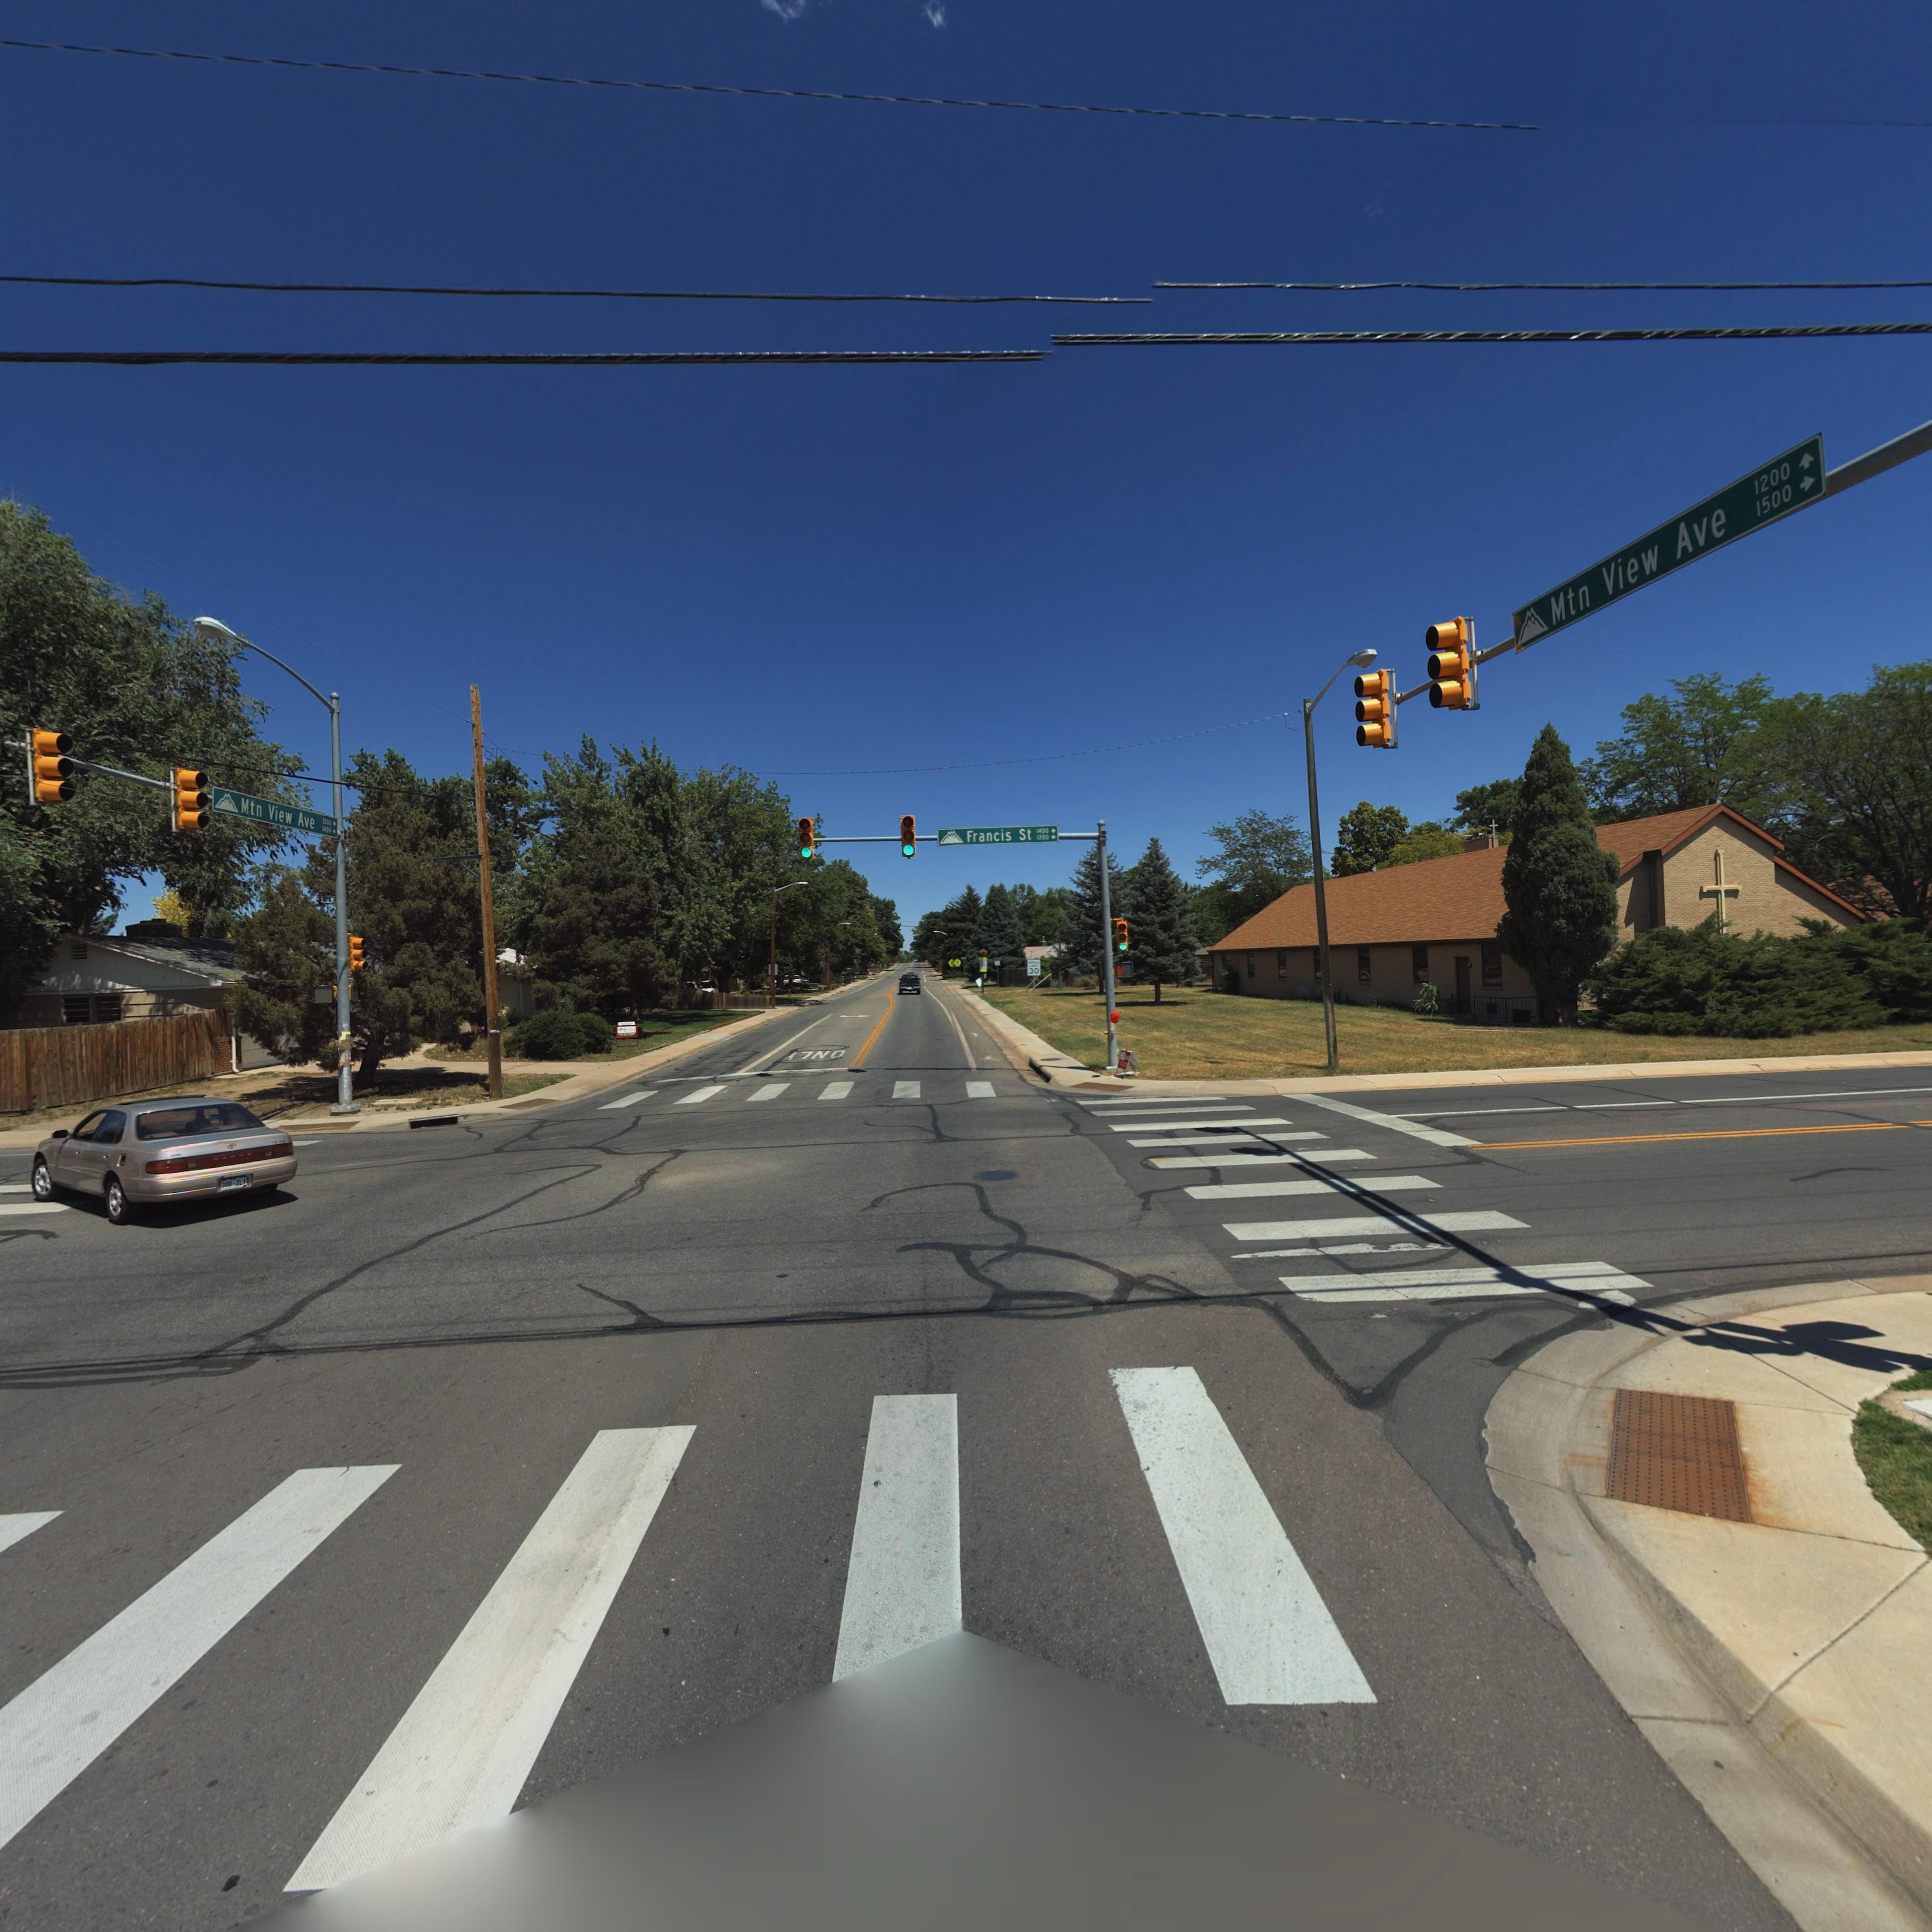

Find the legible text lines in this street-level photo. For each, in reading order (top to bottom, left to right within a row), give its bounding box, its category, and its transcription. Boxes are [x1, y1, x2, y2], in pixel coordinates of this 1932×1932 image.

[1753, 462, 1790, 496] StreetNumberRange: 1200
[1756, 475, 1816, 517] StreetNumberRange: 1500 ->
[1550, 508, 1727, 626] StreetName: Mtn View Ave
[241, 797, 315, 829] StreetName: Mtn View Ave
[322, 817, 331, 825] StreetNumberRange: 1300
[321, 825, 336, 834] StreetNumberRange: 1400 ->
[966, 828, 1032, 842] StreetName: Francis St
[1036, 827, 1049, 834] StreetNumberRange: 1400
[1036, 834, 1057, 840] StreetNumberRange: 1200 ->